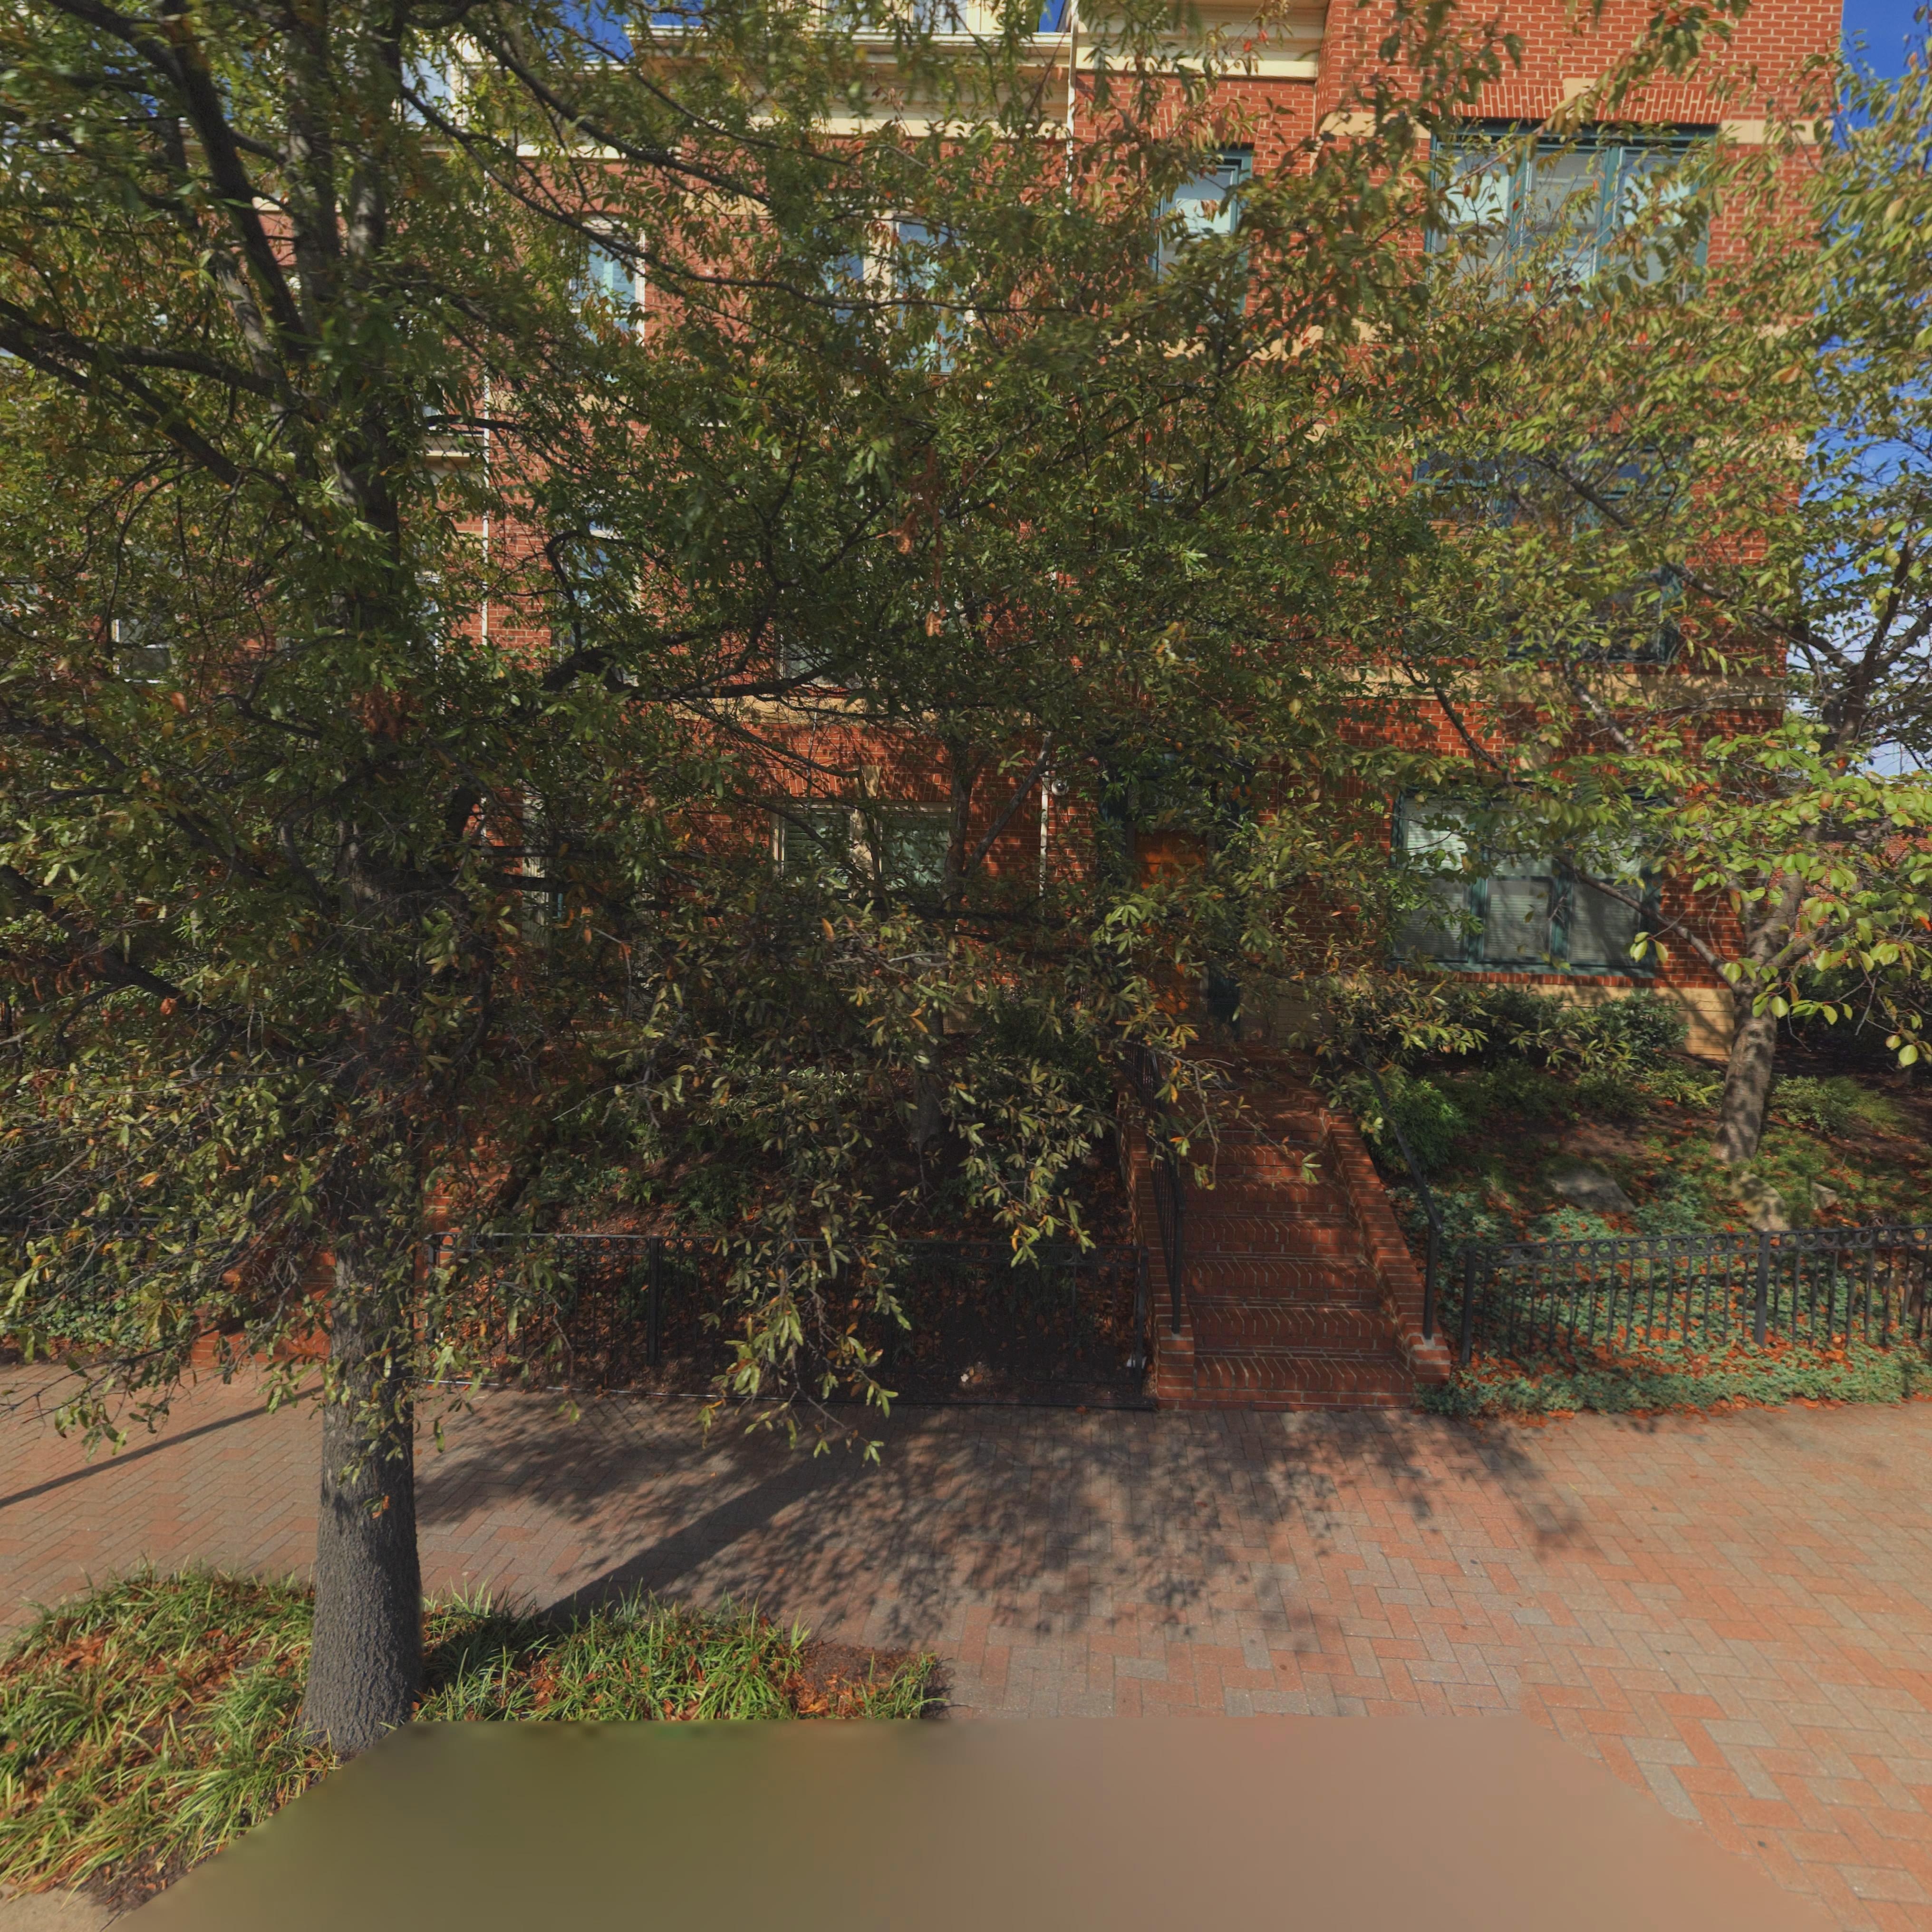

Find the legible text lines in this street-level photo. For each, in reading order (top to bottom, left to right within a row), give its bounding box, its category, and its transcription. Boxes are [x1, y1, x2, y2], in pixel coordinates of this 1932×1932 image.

[1151, 793, 1180, 808] StreetNumber: 330